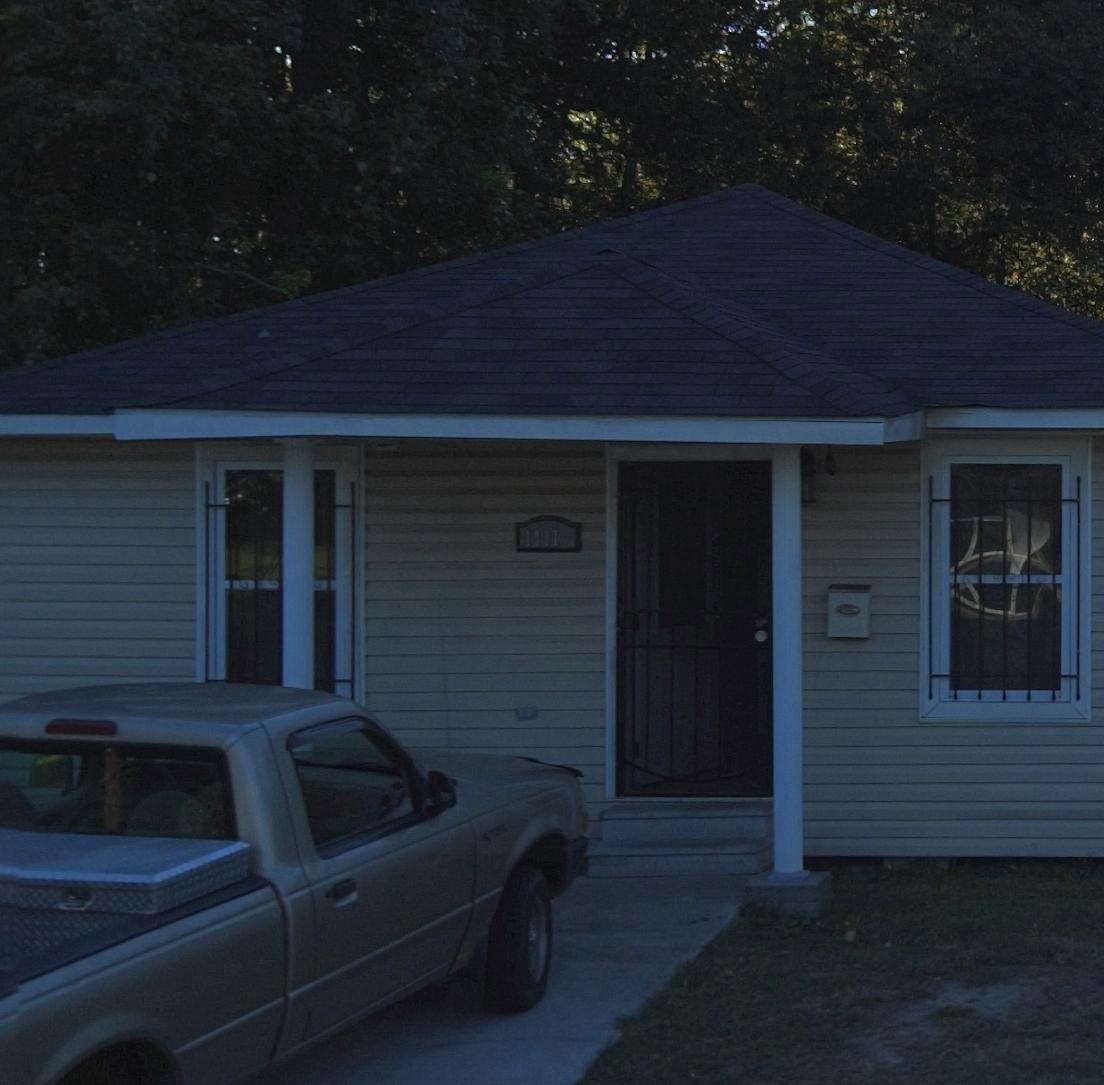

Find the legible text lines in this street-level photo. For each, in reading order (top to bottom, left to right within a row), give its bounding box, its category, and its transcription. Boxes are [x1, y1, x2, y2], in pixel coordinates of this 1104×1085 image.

[523, 527, 561, 550] StreetNumber: 1411